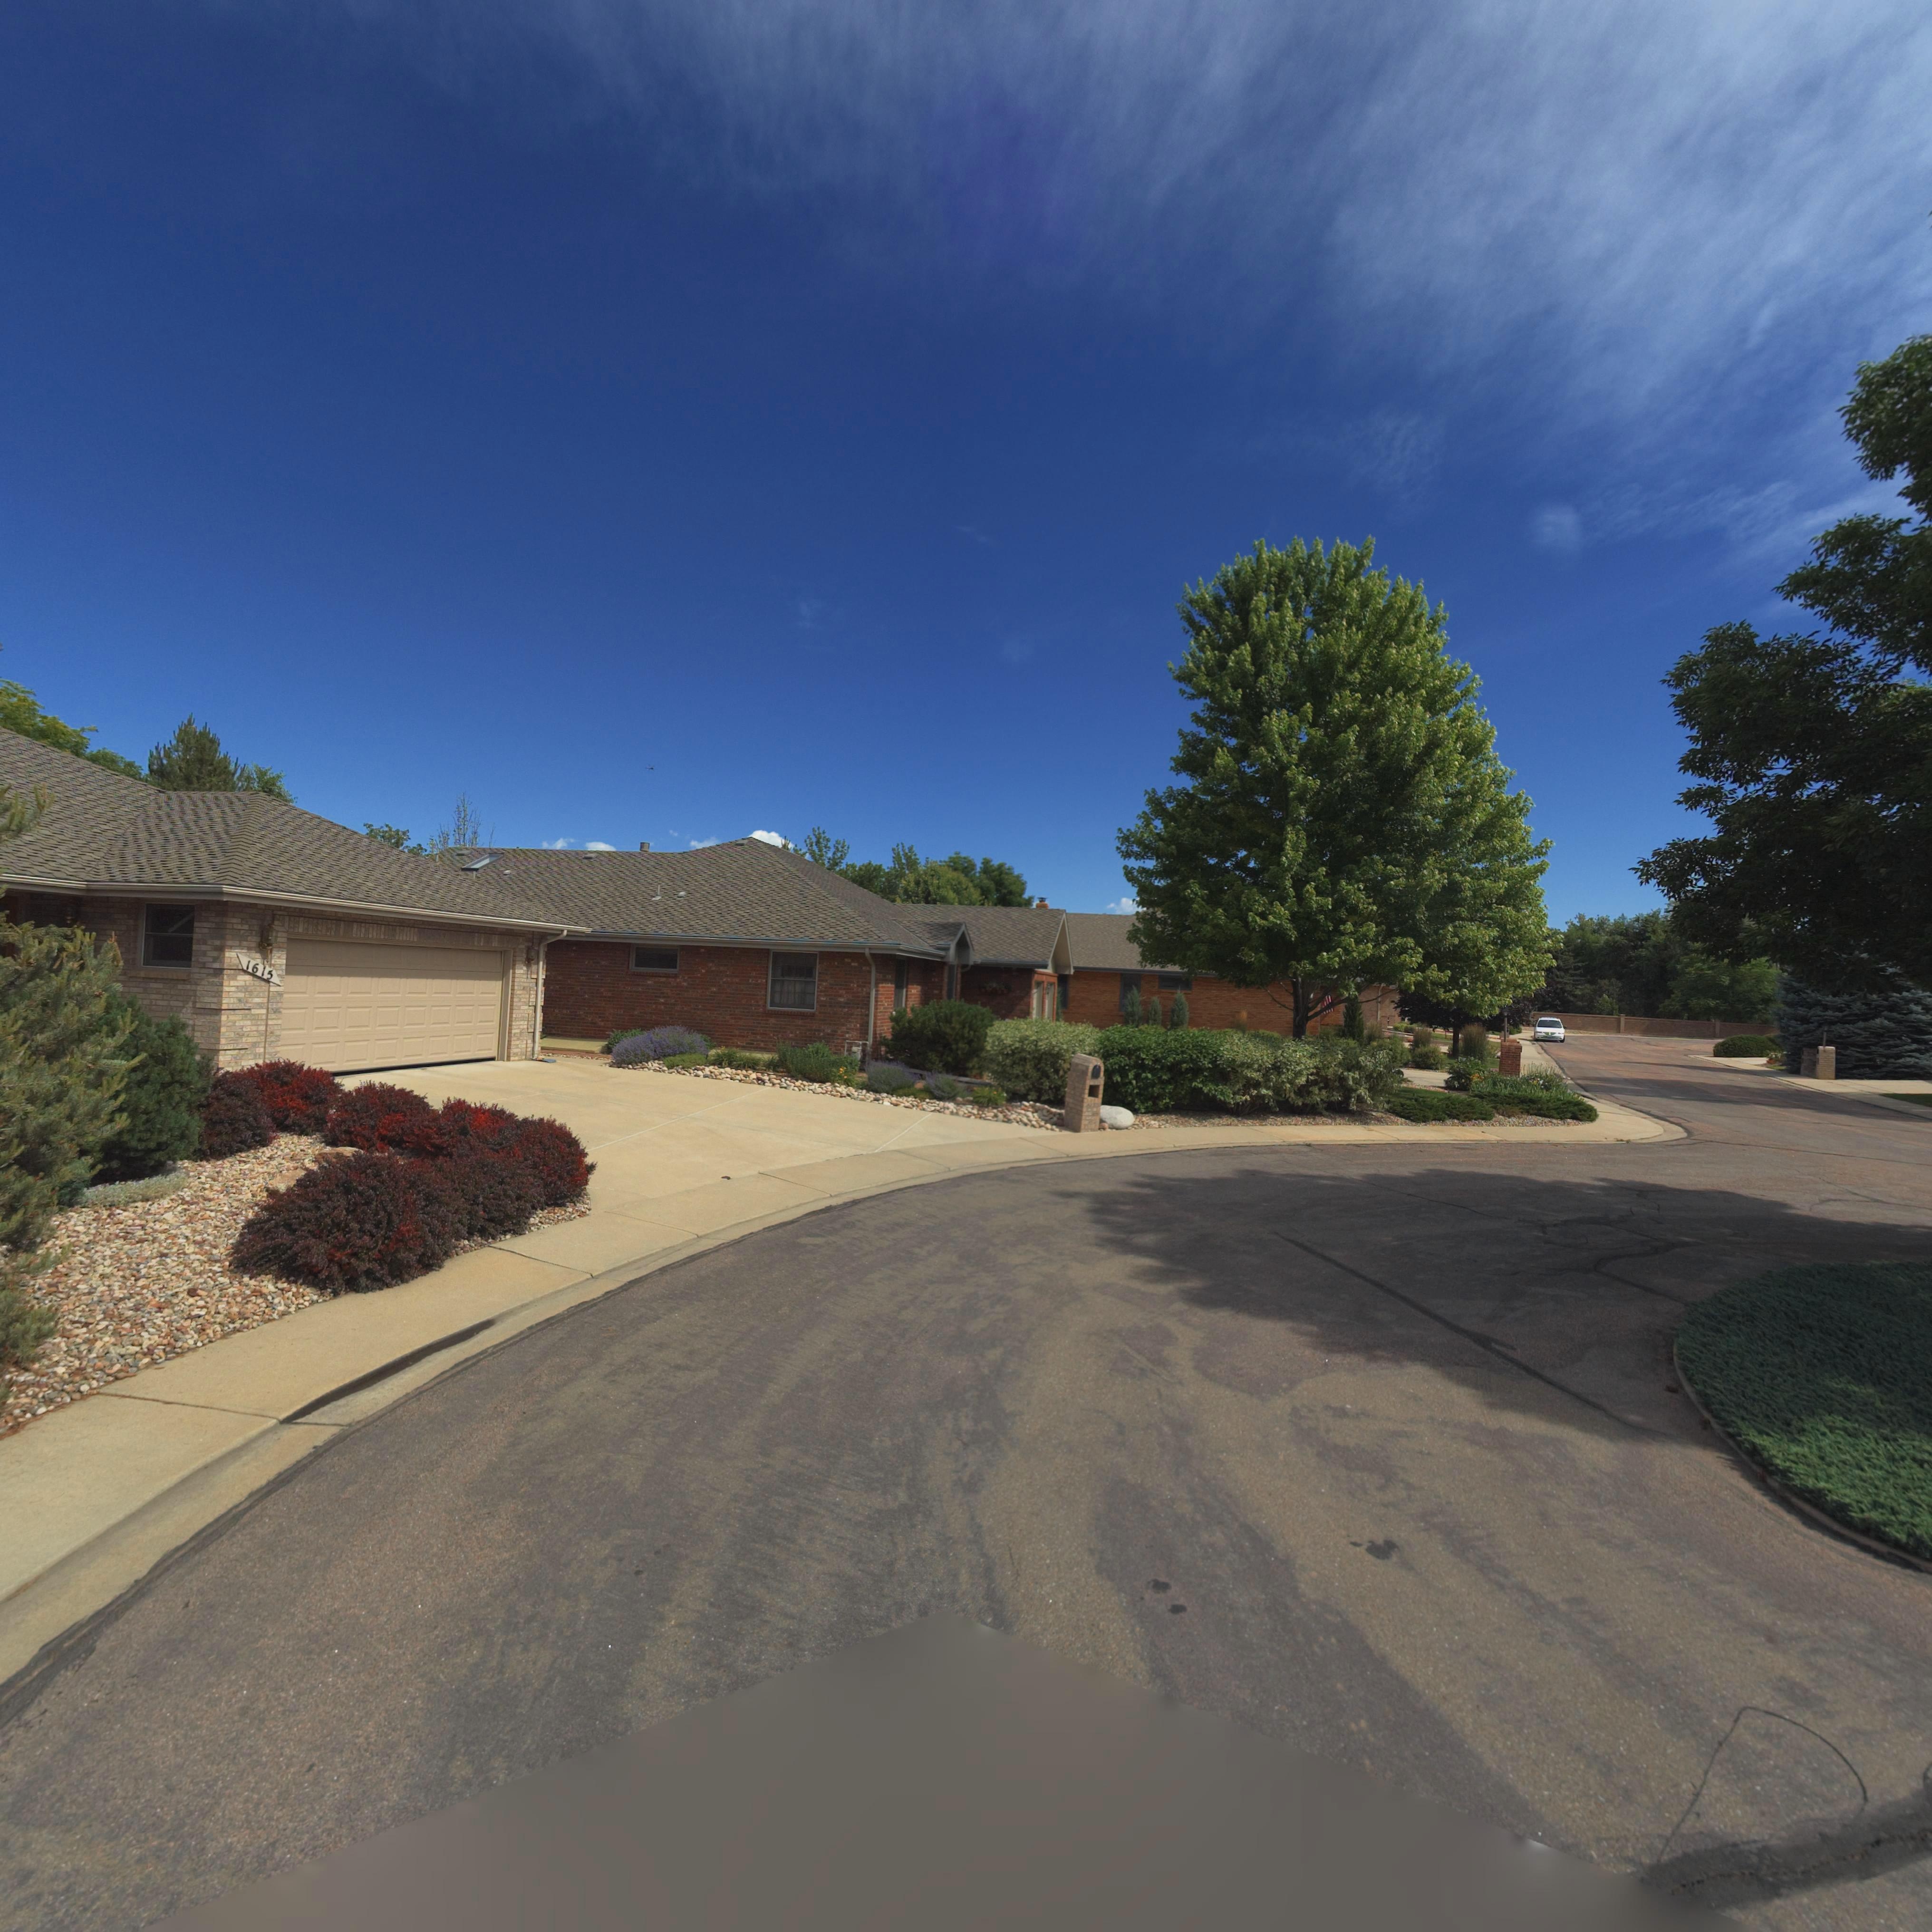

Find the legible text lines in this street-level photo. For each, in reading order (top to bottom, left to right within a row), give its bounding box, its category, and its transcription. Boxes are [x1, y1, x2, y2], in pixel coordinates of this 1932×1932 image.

[245, 959, 274, 980] StreetNumber: 1615